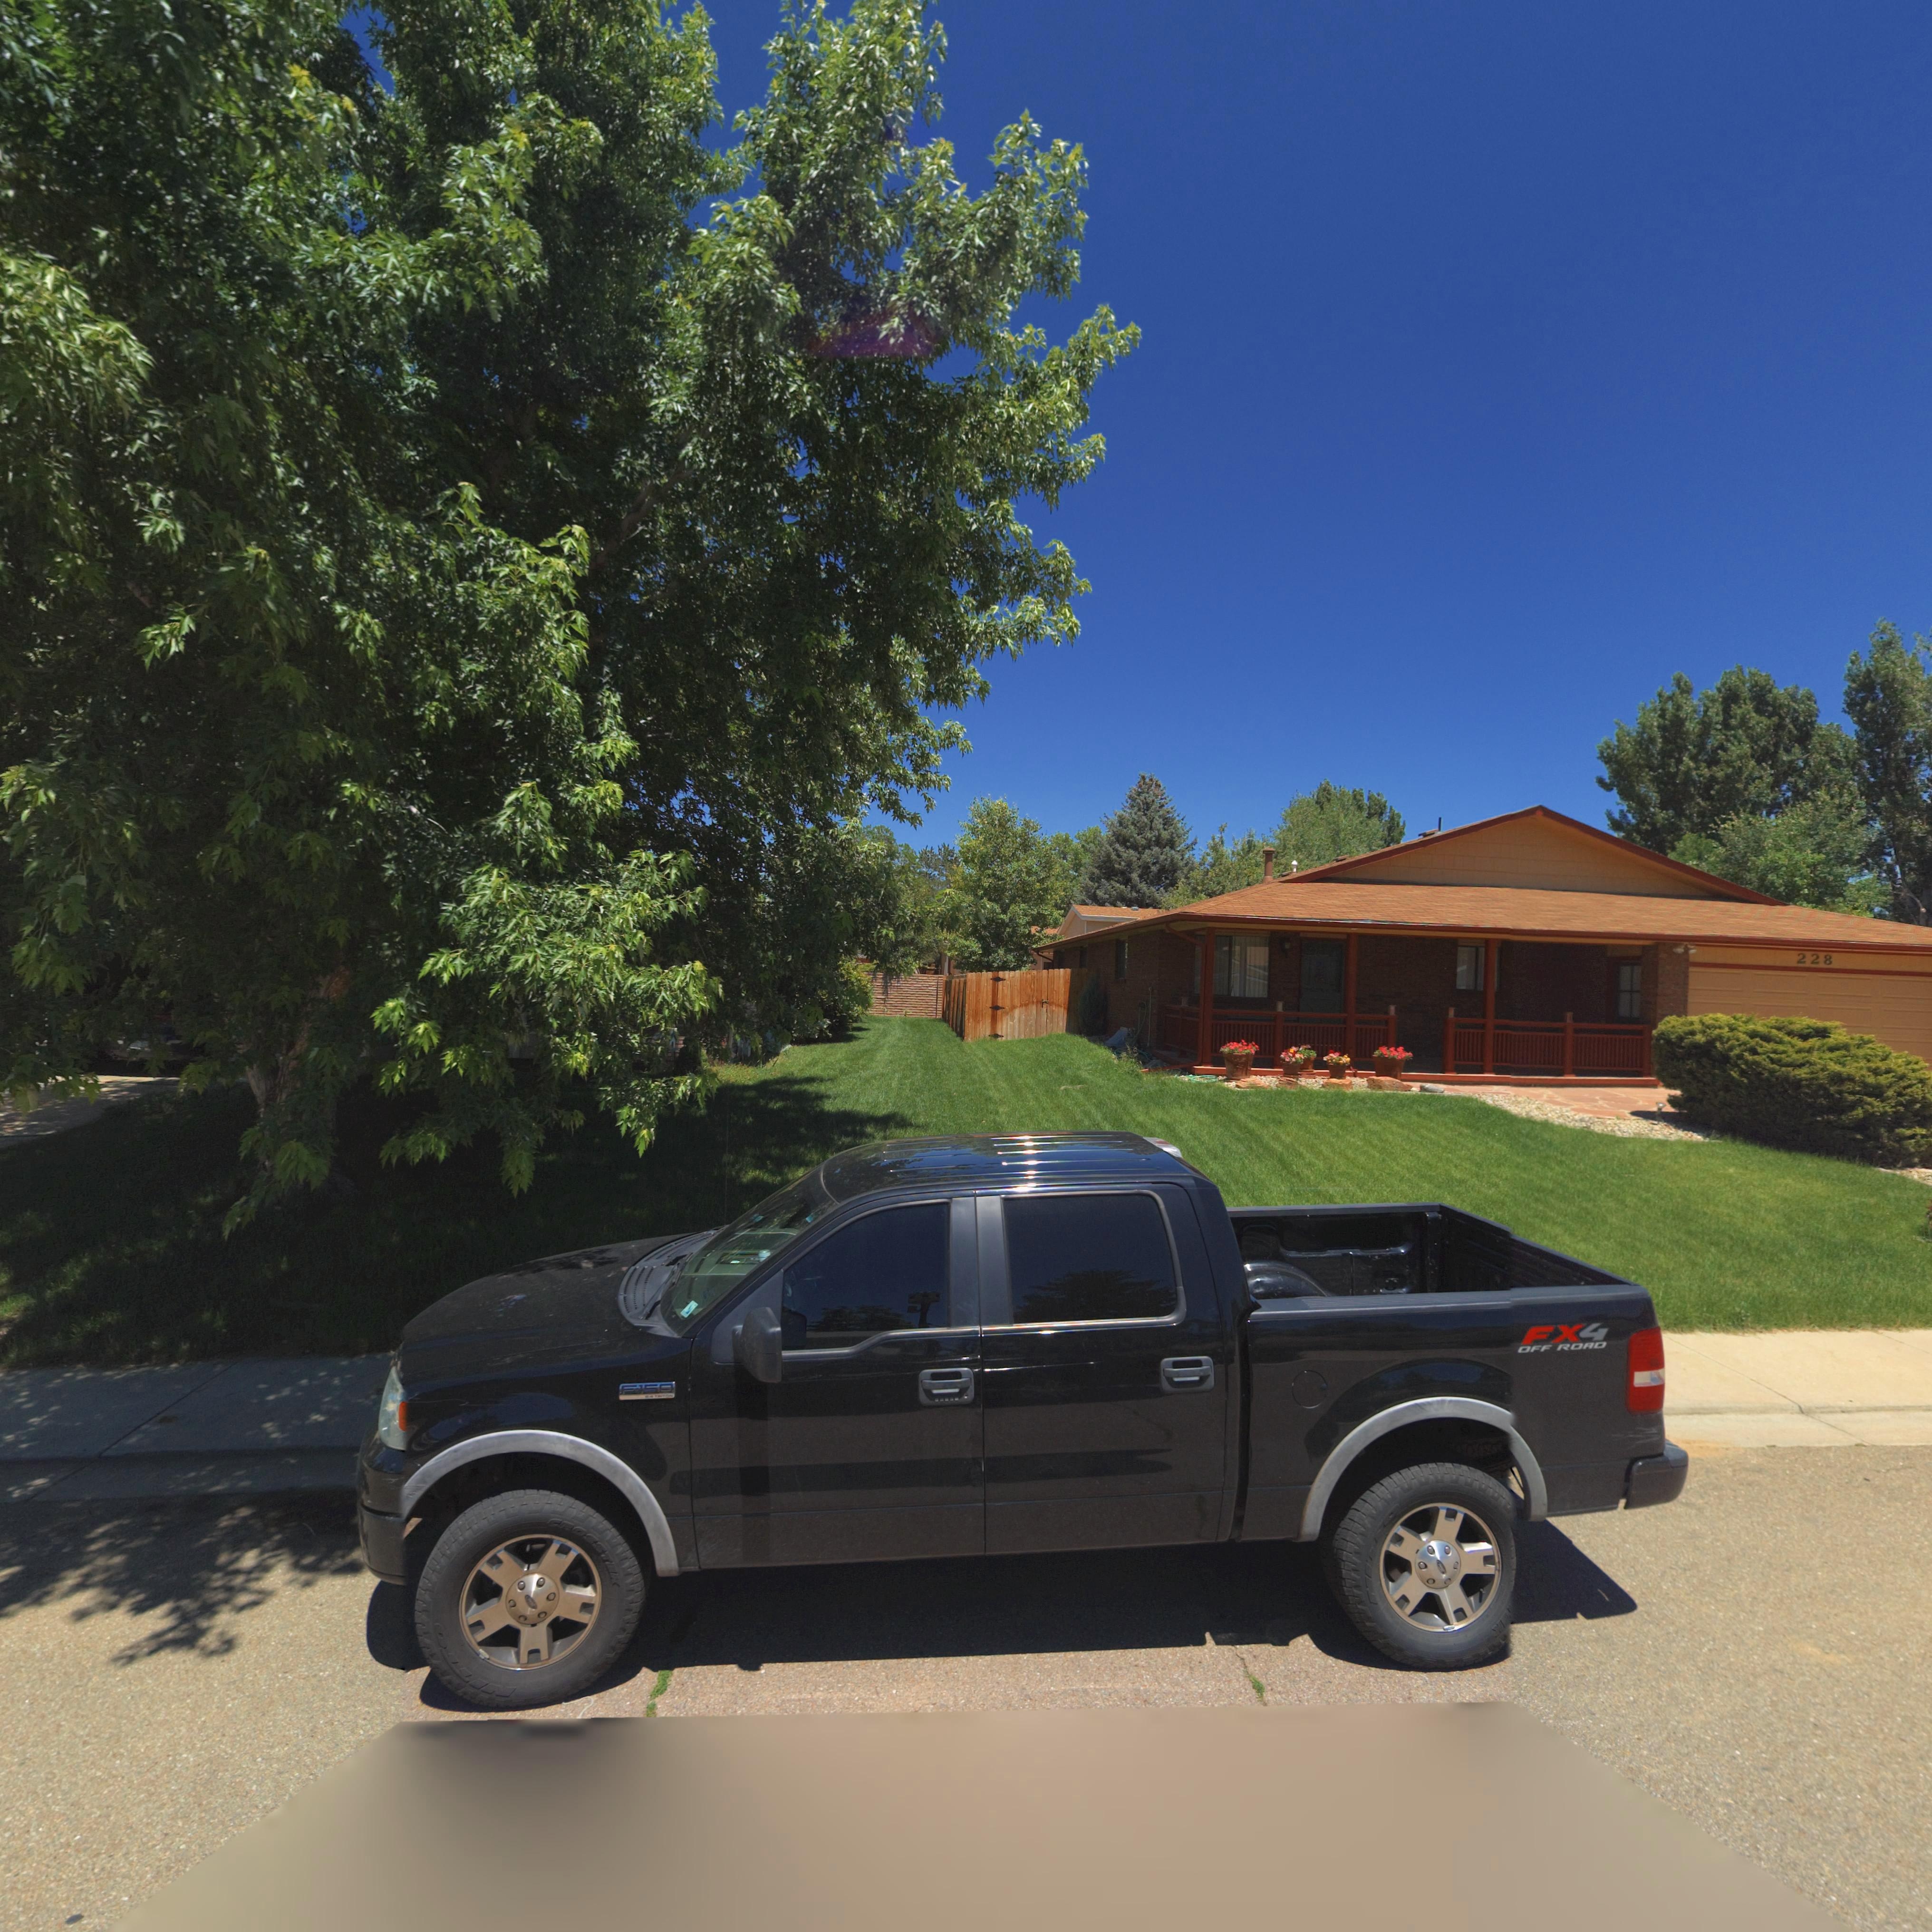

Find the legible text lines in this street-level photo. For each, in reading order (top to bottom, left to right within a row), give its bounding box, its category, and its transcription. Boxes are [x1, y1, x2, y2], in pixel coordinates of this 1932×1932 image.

[1797, 953, 1832, 965] StreetNumber: 228